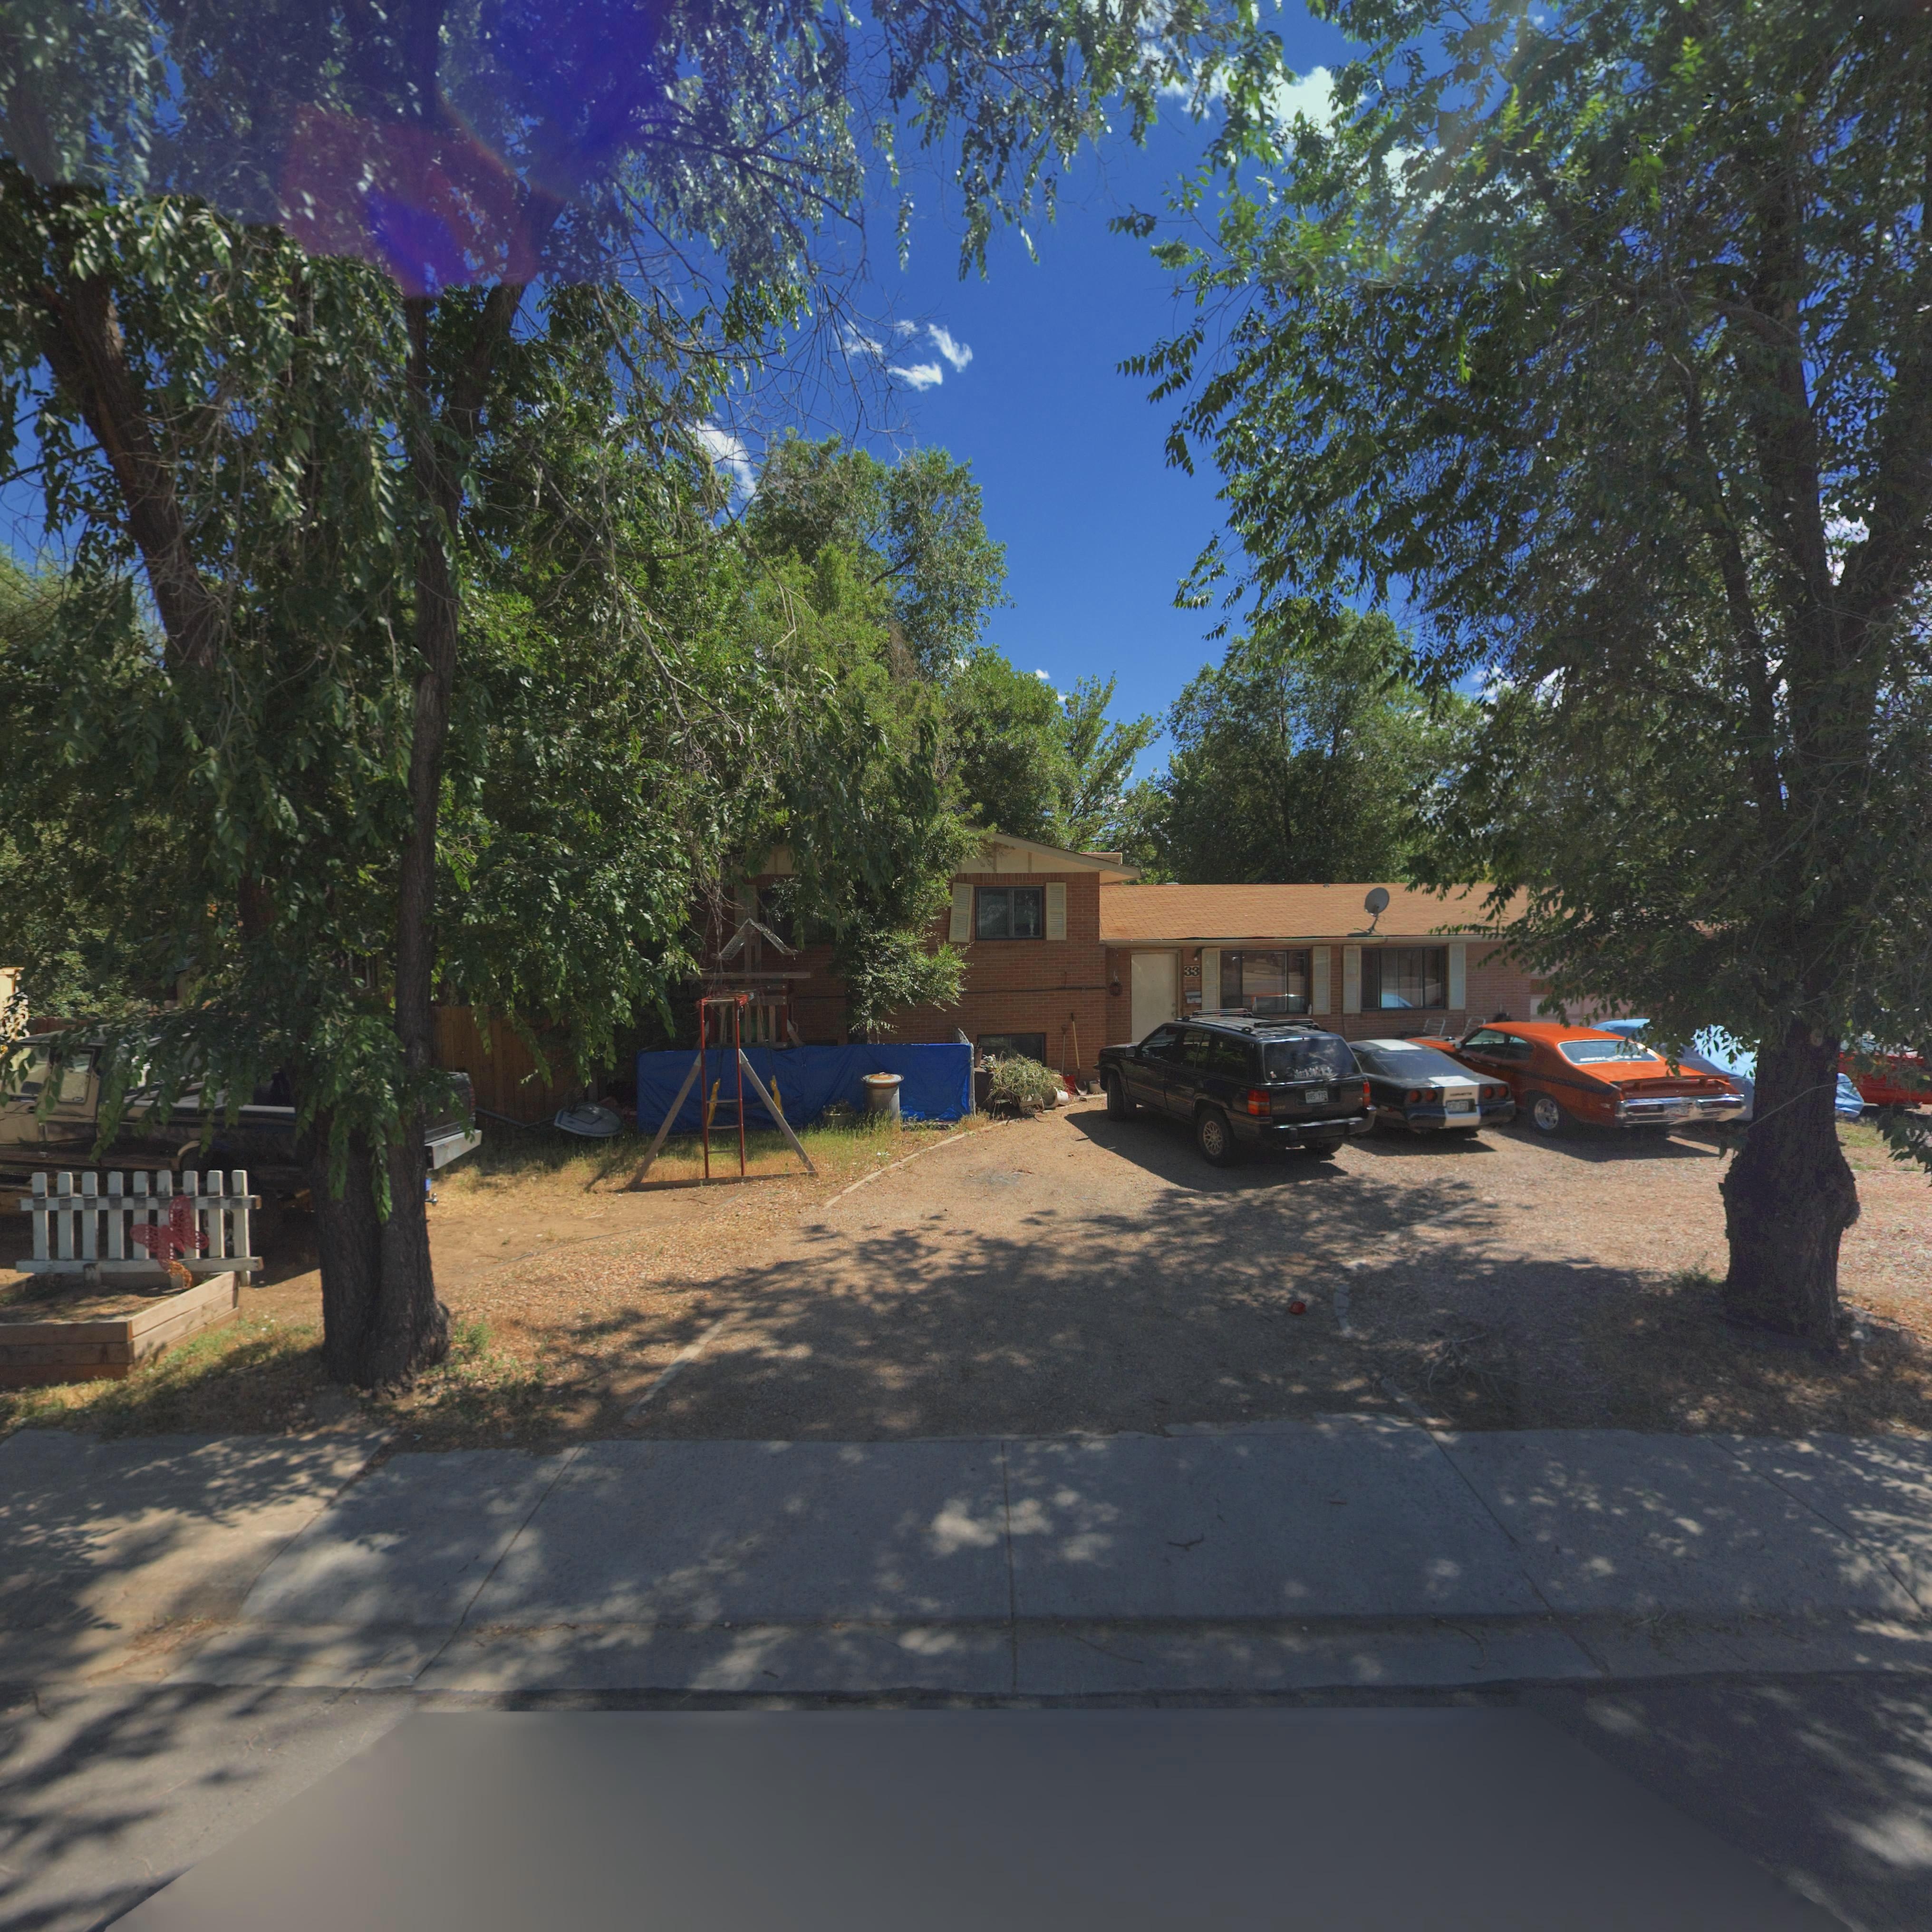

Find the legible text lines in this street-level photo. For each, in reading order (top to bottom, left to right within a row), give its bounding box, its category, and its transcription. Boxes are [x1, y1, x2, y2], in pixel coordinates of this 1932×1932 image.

[1184, 966, 1199, 976] StreetNumber: 33